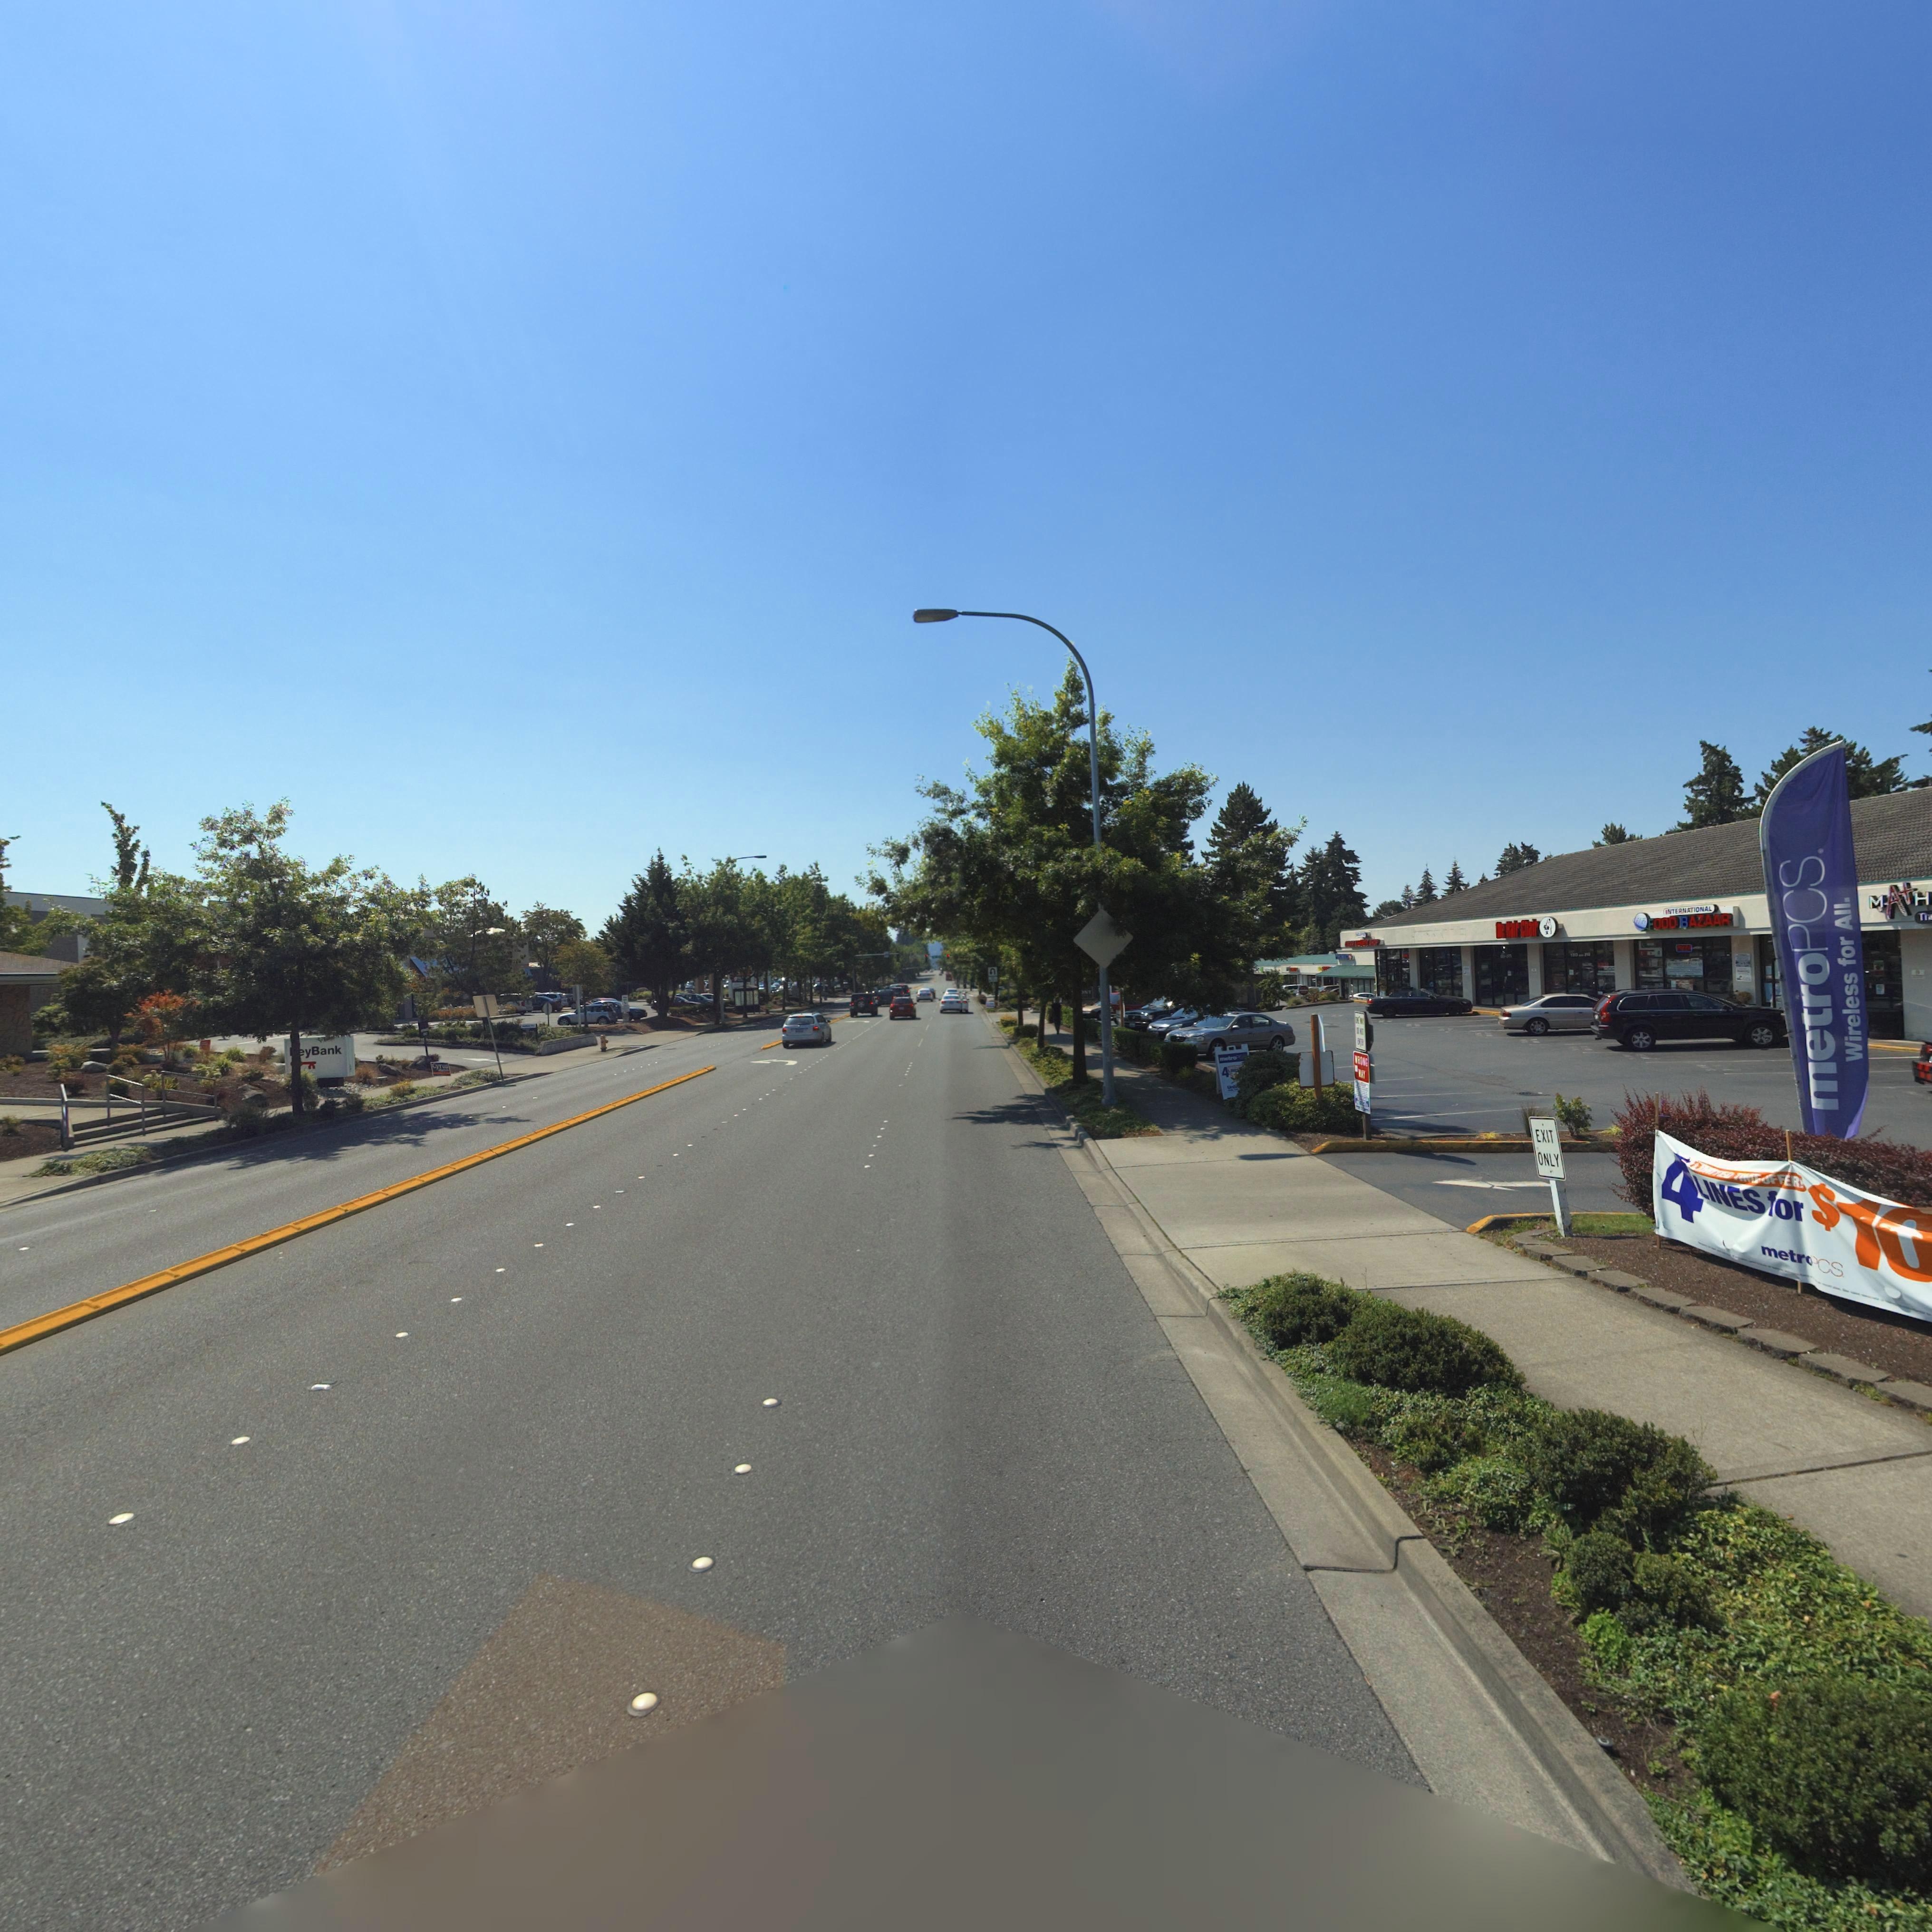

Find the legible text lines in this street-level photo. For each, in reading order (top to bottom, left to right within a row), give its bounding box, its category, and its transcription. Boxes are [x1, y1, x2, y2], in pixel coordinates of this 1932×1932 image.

[1867, 879, 1931, 923] BusinessName: M**H
[1664, 906, 1713, 915] BusinessName: INTERNATIONAL
[1499, 917, 1540, 938] BusinessName: *e Hair Chair
[1648, 913, 1733, 930] BusinessName: FOOD BAZAAR
[299, 1045, 342, 1059] BusinessName: *yBank
[1535, 1128, 1554, 1144] TrafficSign: EXIT
[1537, 1151, 1559, 1168] TrafficSign: ONLY